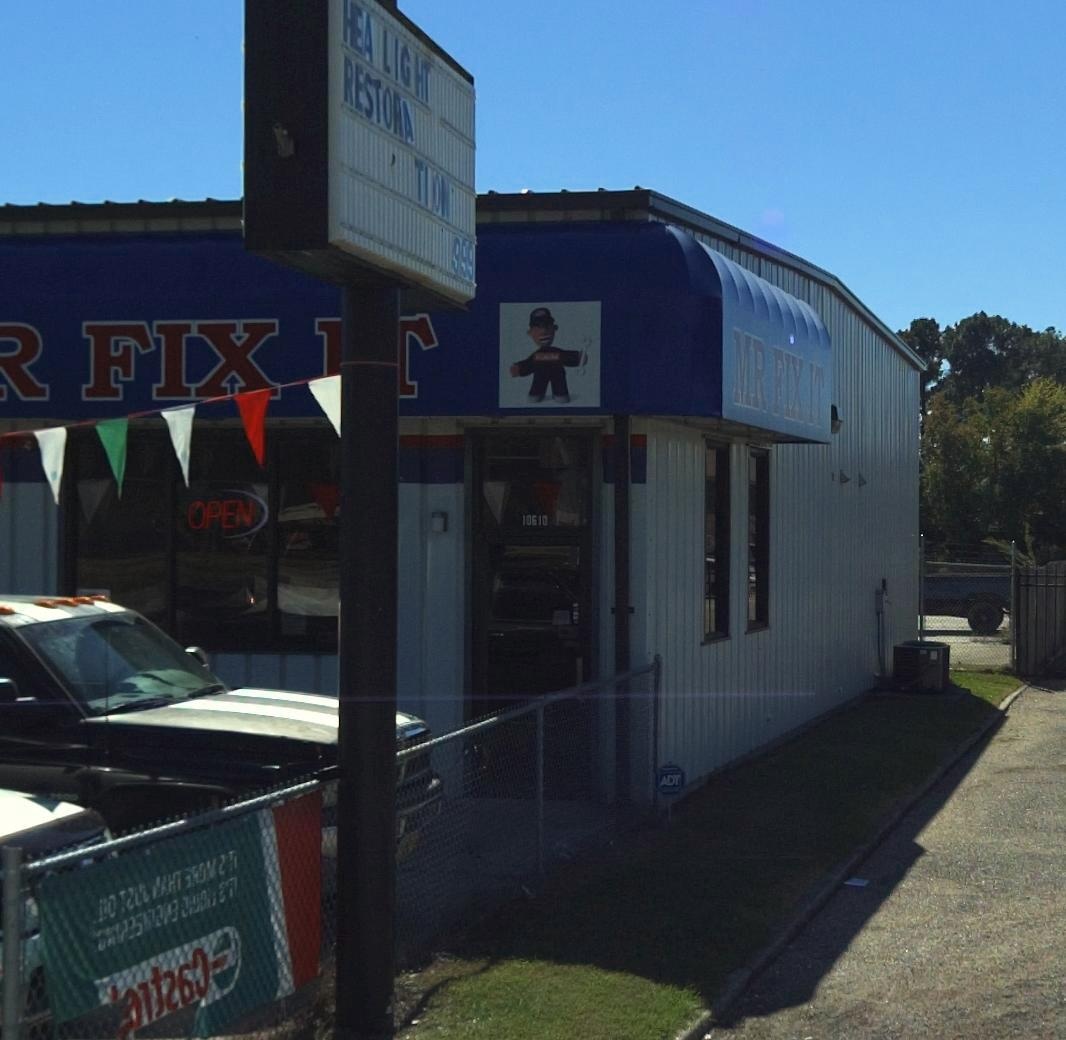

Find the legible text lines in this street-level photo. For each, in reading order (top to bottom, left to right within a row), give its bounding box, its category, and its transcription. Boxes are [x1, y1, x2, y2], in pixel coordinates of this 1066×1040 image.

[351, 0, 435, 112] None: EA LIGHT
[340, 48, 419, 152] None: RESTORA
[412, 151, 454, 227] None: TION
[448, 229, 476, 286] None: 999
[77, 315, 284, 405] BusinessName: FIX
[730, 322, 827, 433] BusinessName: MR FIX IT
[186, 496, 256, 534] None: OPEN
[521, 513, 550, 527] StreetNumber: 10610
[656, 772, 683, 789] None: ADT